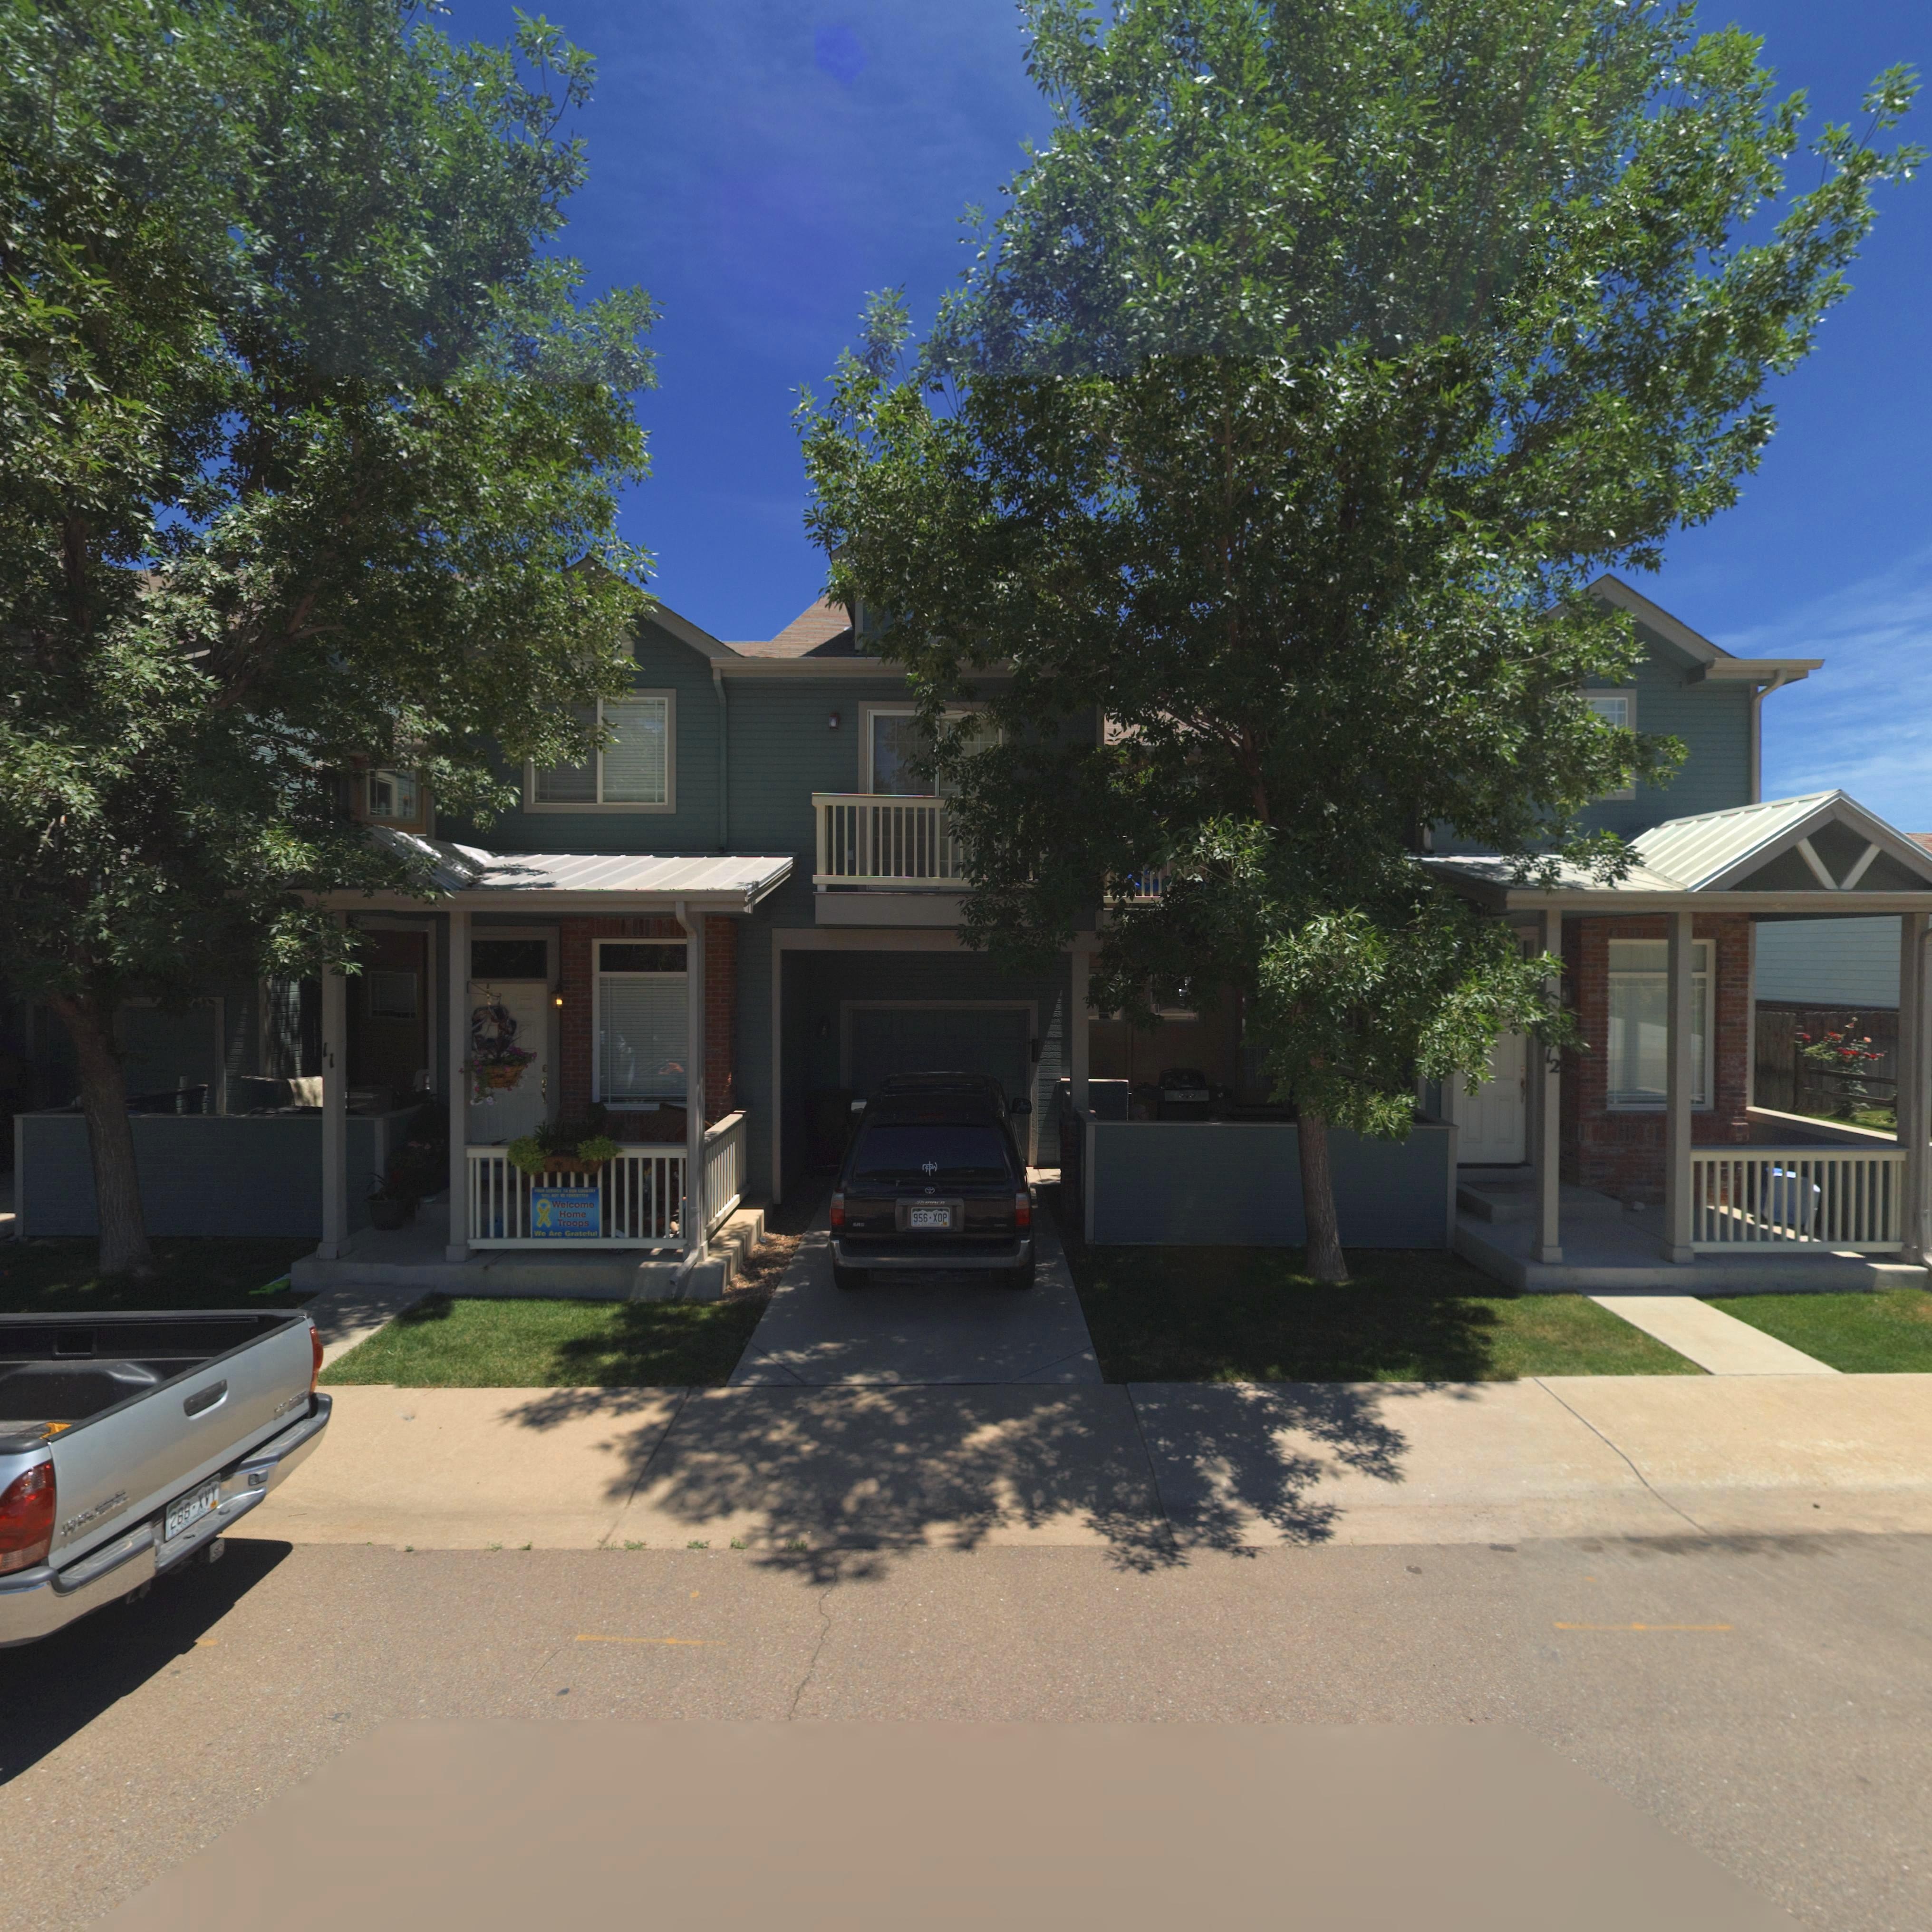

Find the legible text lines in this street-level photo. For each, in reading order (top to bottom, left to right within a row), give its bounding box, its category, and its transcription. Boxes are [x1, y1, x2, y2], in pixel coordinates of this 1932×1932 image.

[322, 1041, 335, 1070] SecondaryUnitDesignator: 11
[1544, 1046, 1562, 1075] SecondaryUnitDesignator: 12